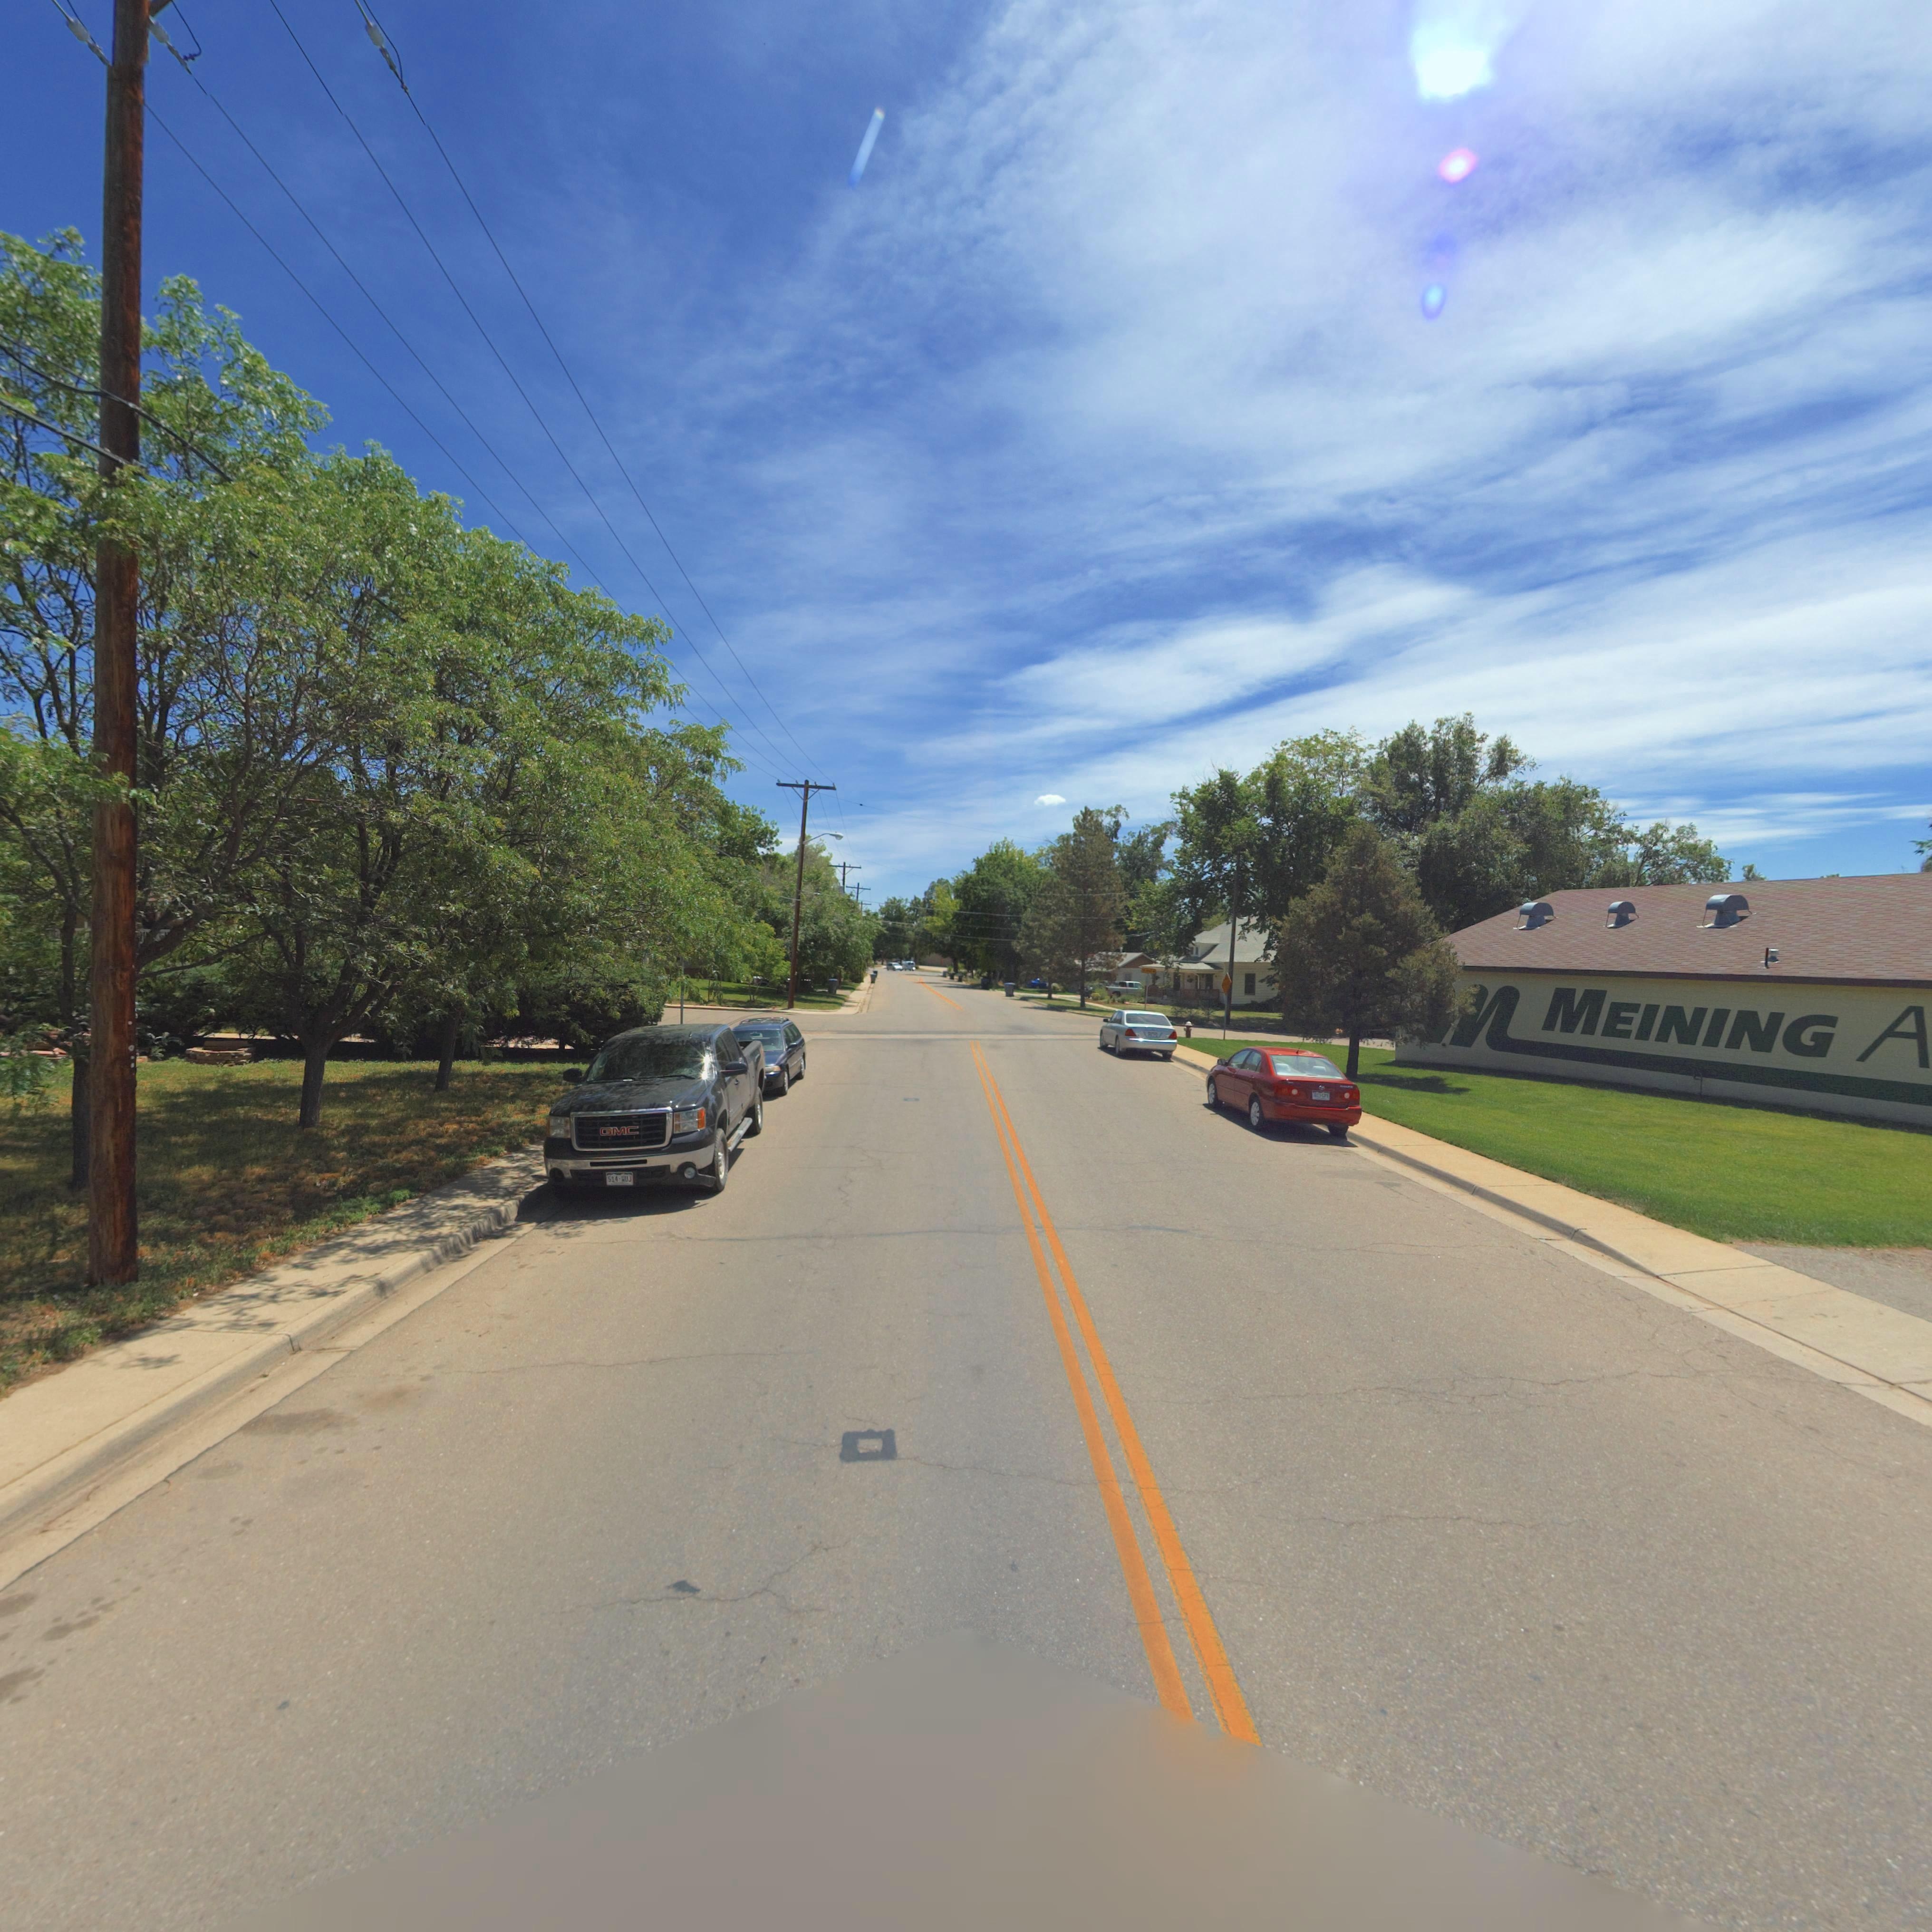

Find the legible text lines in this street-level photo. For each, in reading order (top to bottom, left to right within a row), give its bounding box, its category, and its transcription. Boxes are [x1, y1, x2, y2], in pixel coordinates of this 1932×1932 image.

[1540, 986, 1931, 1071] BusinessName: MEINING A